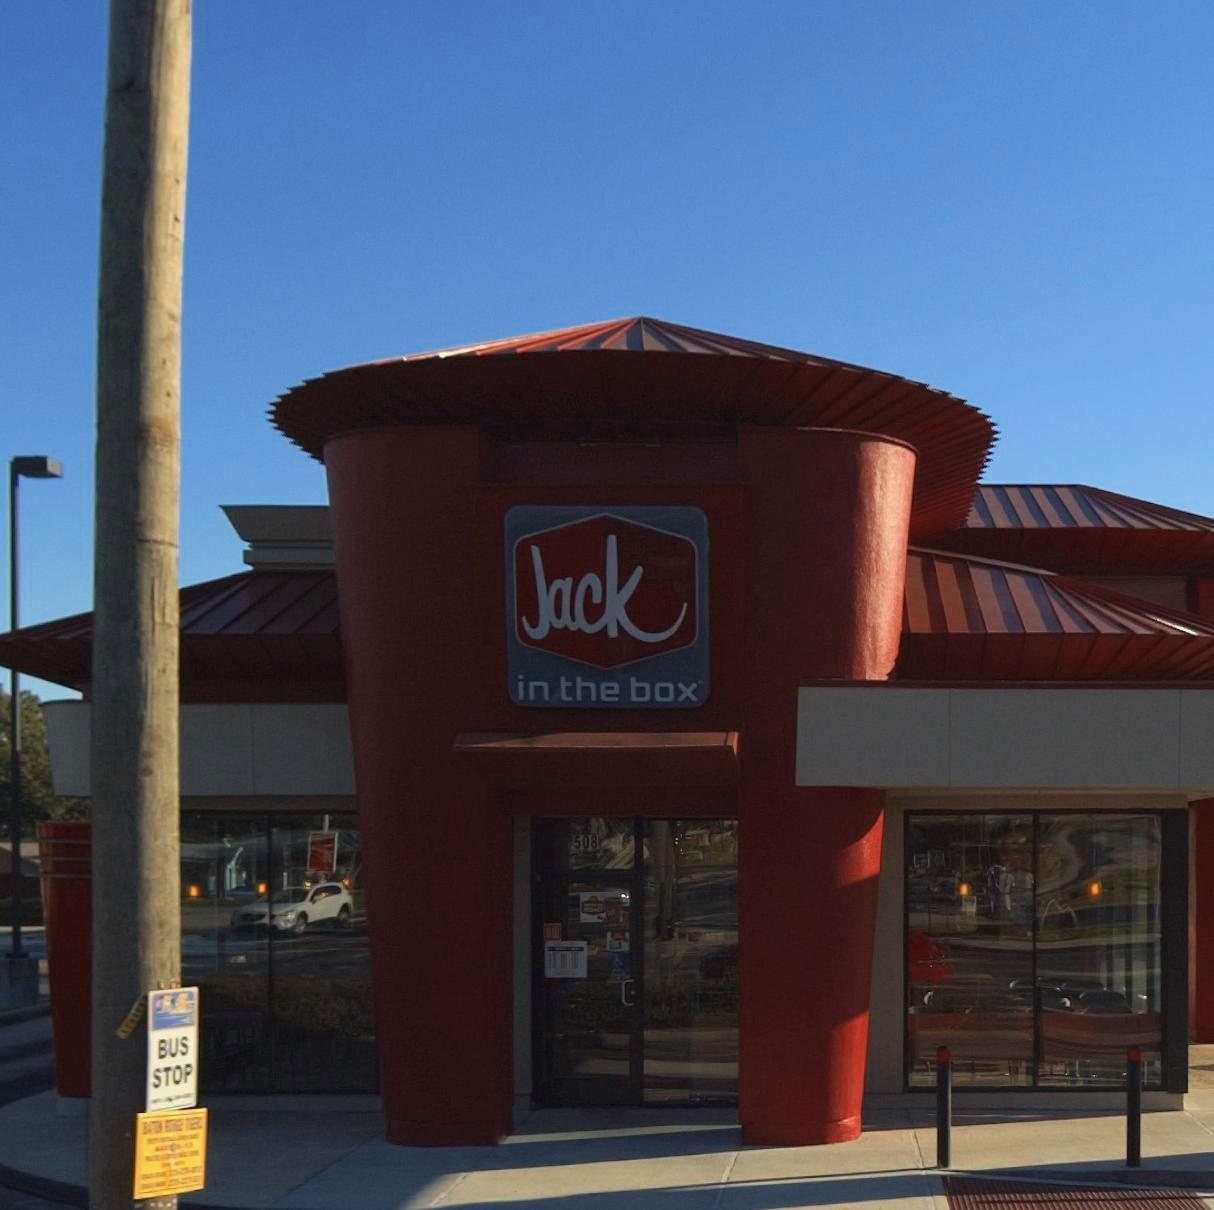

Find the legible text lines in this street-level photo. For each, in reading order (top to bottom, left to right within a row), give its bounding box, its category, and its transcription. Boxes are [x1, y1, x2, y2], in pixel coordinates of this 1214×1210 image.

[520, 533, 690, 642] BusinessName: Jack
[516, 673, 699, 704] BusinessName: in the box
[573, 834, 599, 851] StreetNumber: 508
[157, 1033, 190, 1061] None: BUS
[150, 1061, 194, 1092] None: STOP